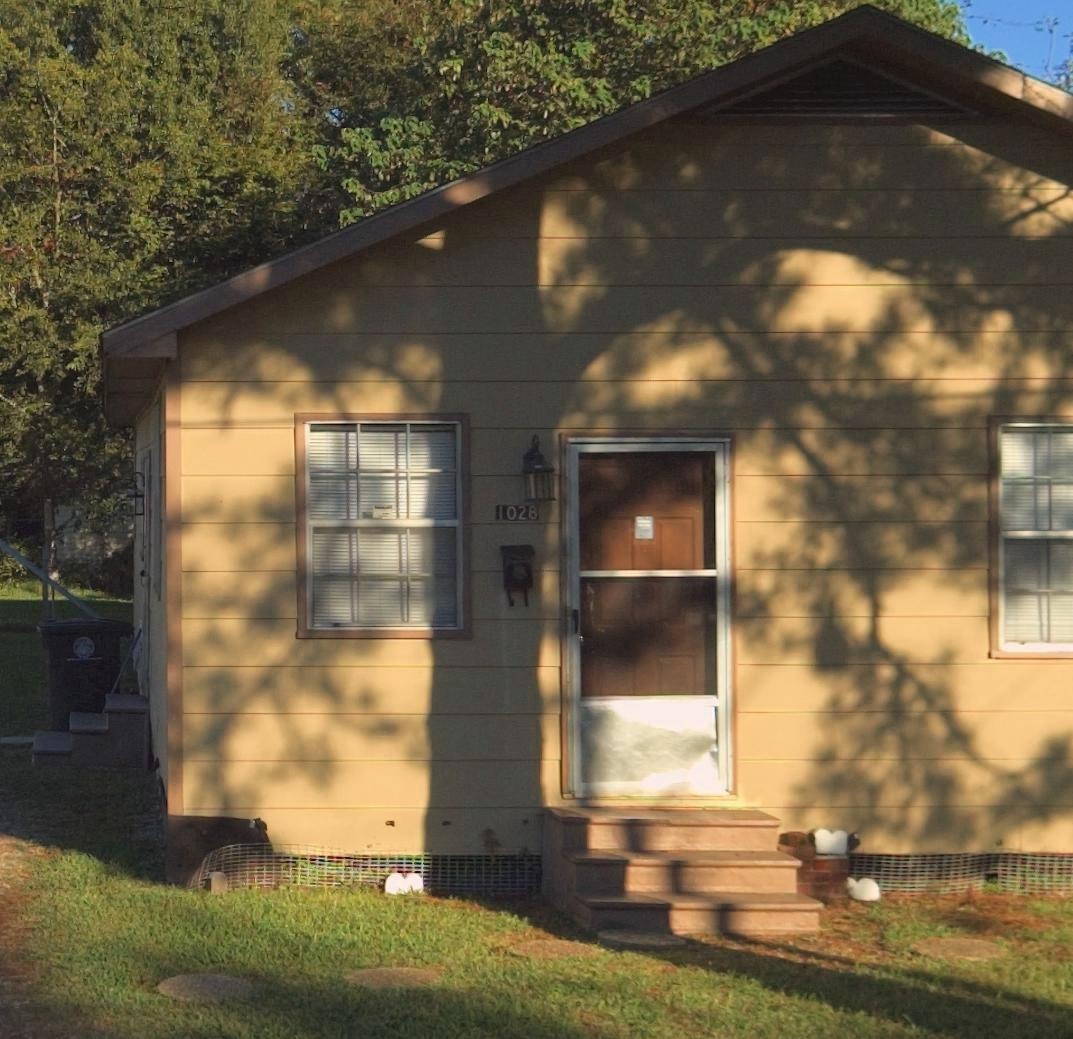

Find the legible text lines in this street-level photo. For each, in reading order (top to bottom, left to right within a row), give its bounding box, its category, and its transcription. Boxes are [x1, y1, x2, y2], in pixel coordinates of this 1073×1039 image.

[496, 503, 539, 523] StreetNumber: 1028